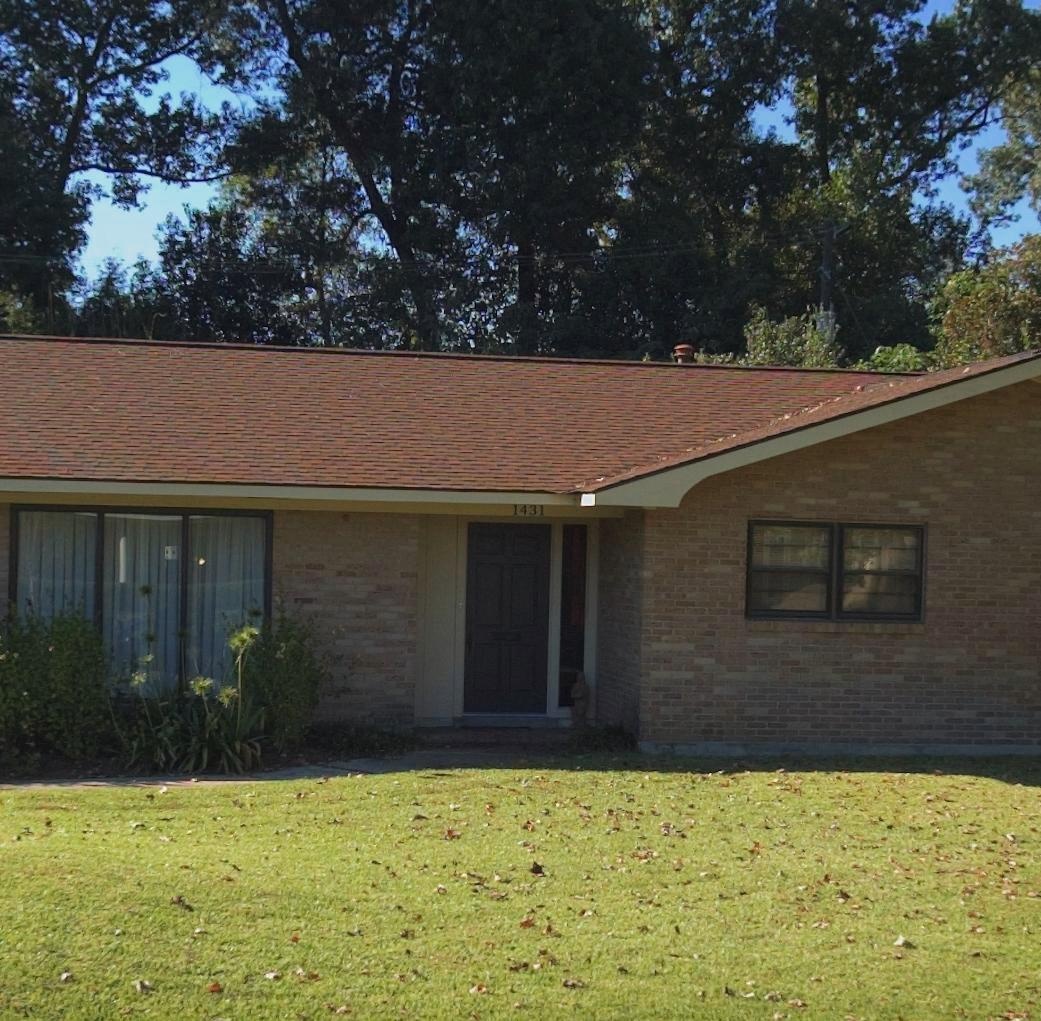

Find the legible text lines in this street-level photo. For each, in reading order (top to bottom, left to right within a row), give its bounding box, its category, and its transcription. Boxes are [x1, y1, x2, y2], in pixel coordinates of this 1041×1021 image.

[512, 502, 546, 518] StreetNumber: 1431